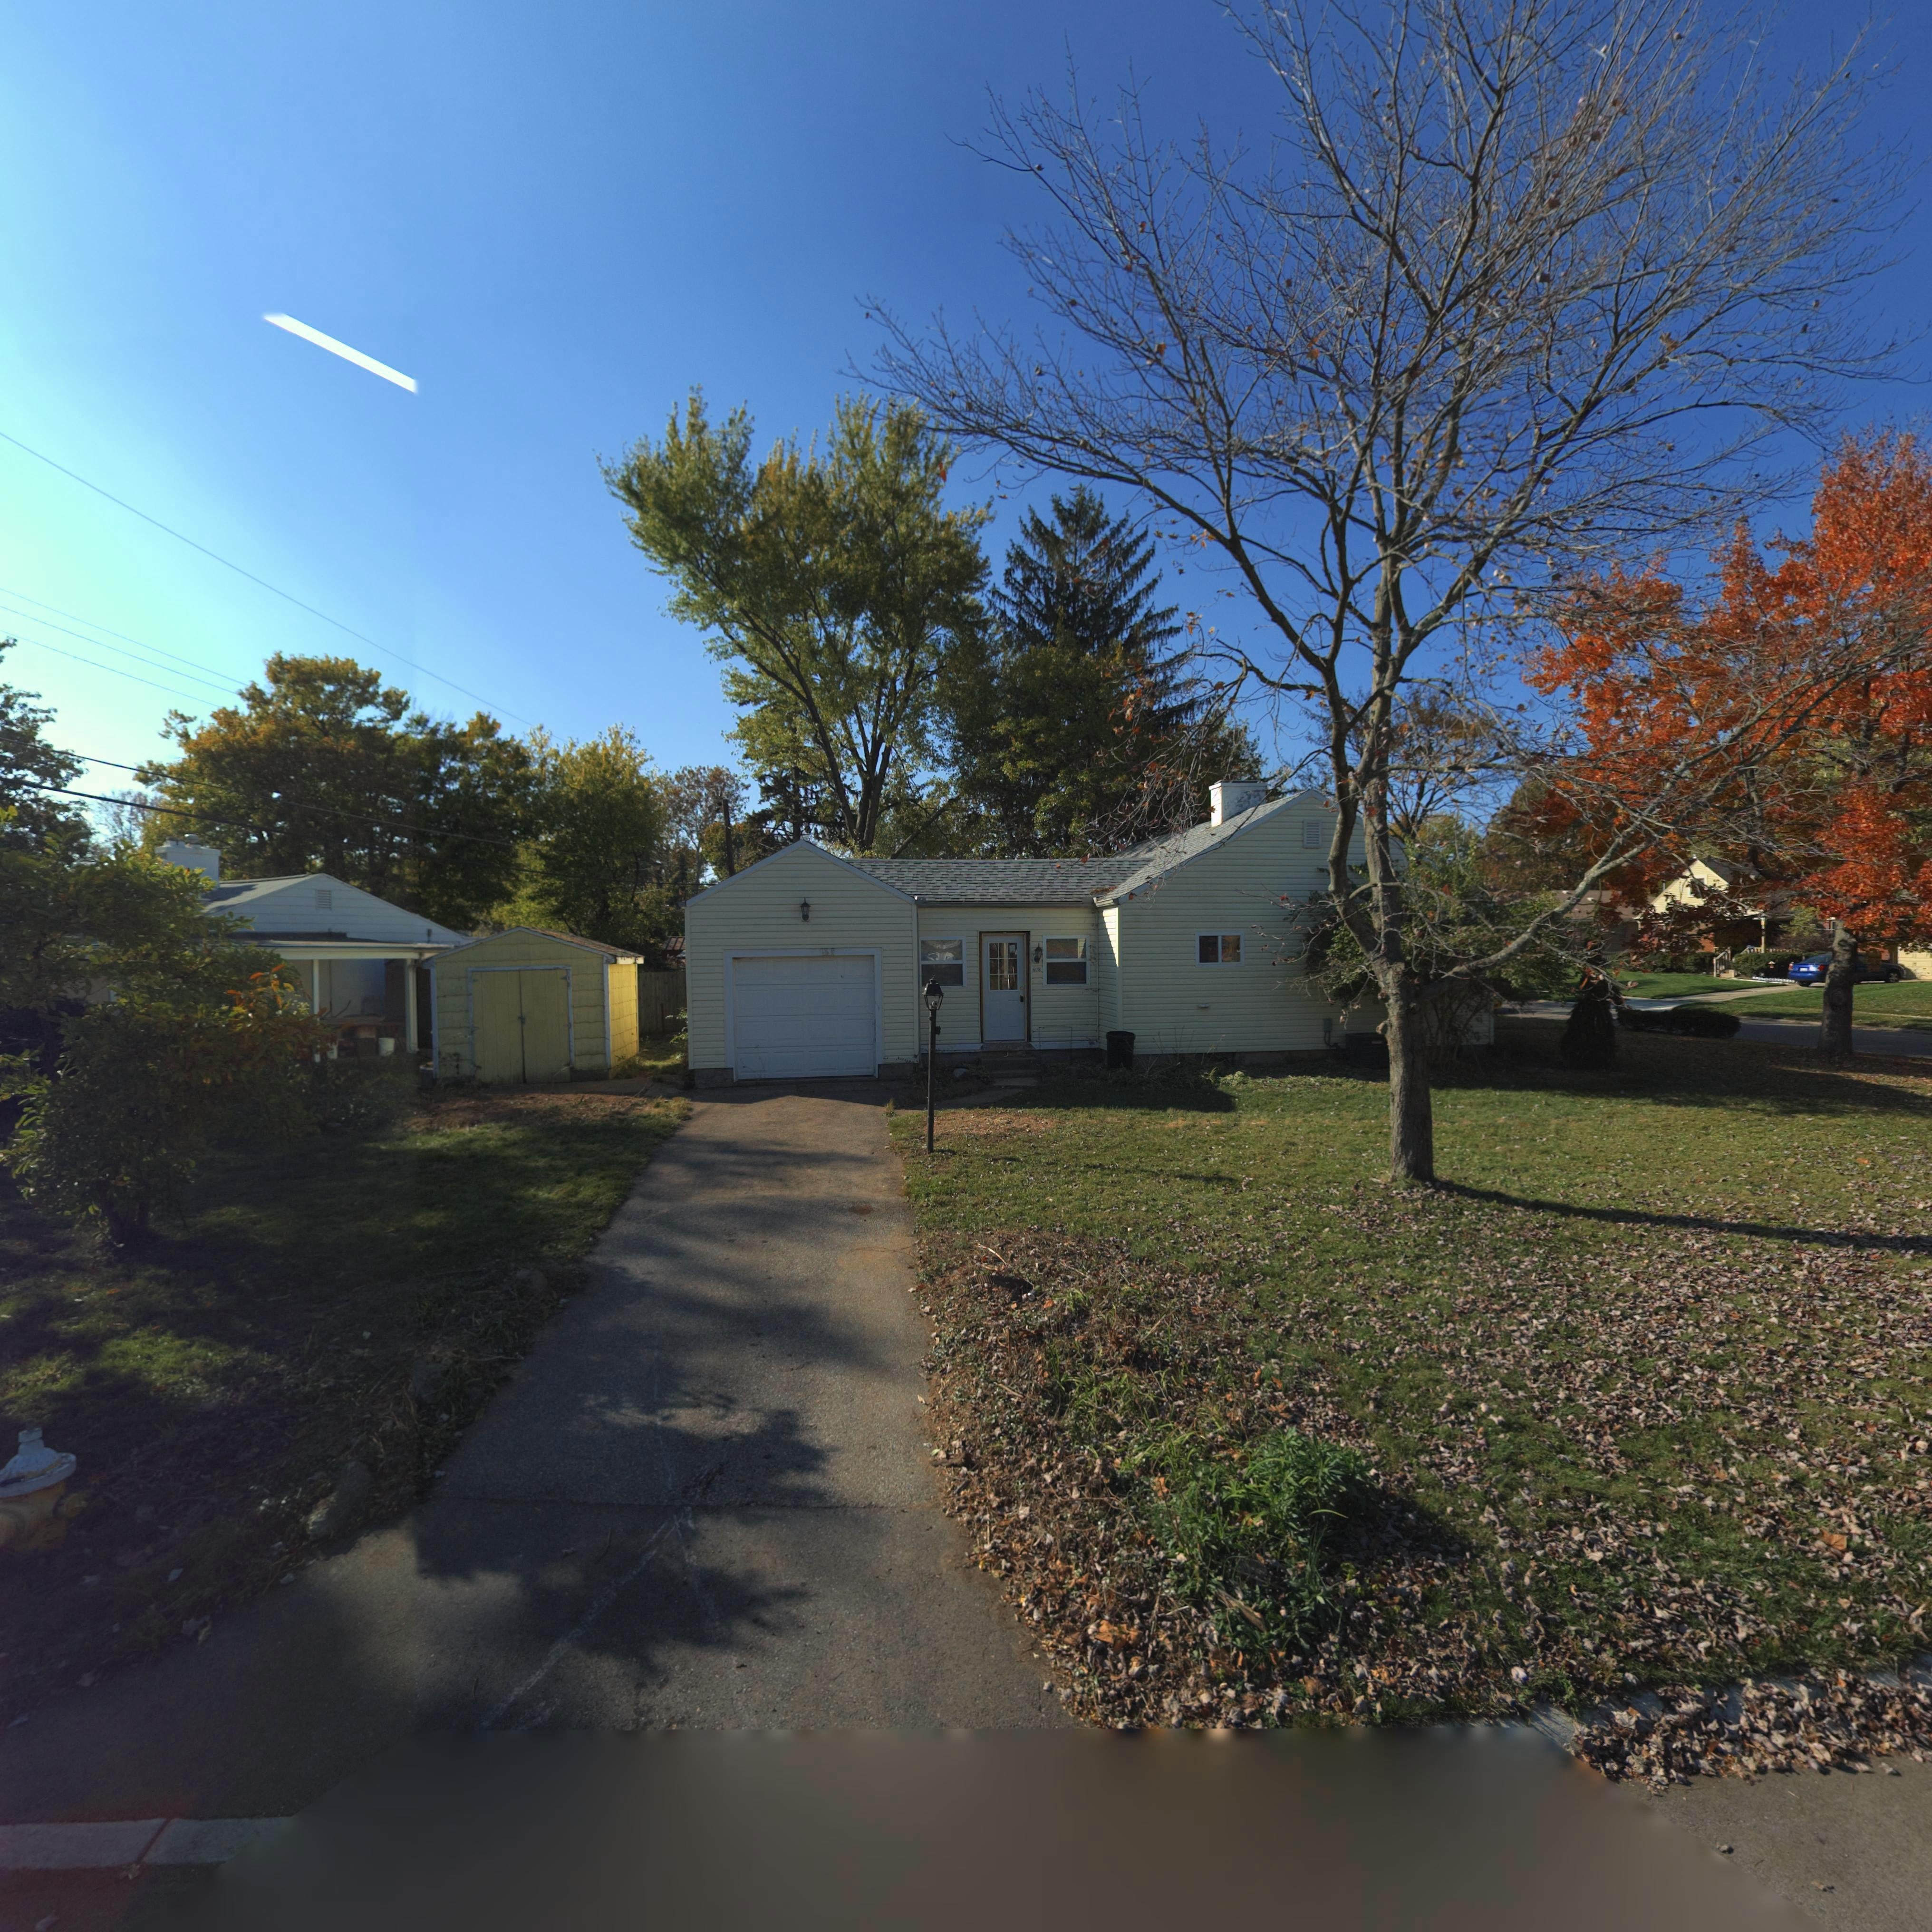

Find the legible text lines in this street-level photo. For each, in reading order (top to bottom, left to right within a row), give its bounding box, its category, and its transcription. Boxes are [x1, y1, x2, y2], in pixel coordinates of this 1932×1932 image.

[1032, 966, 1041, 973] StreetNumber: 6*8